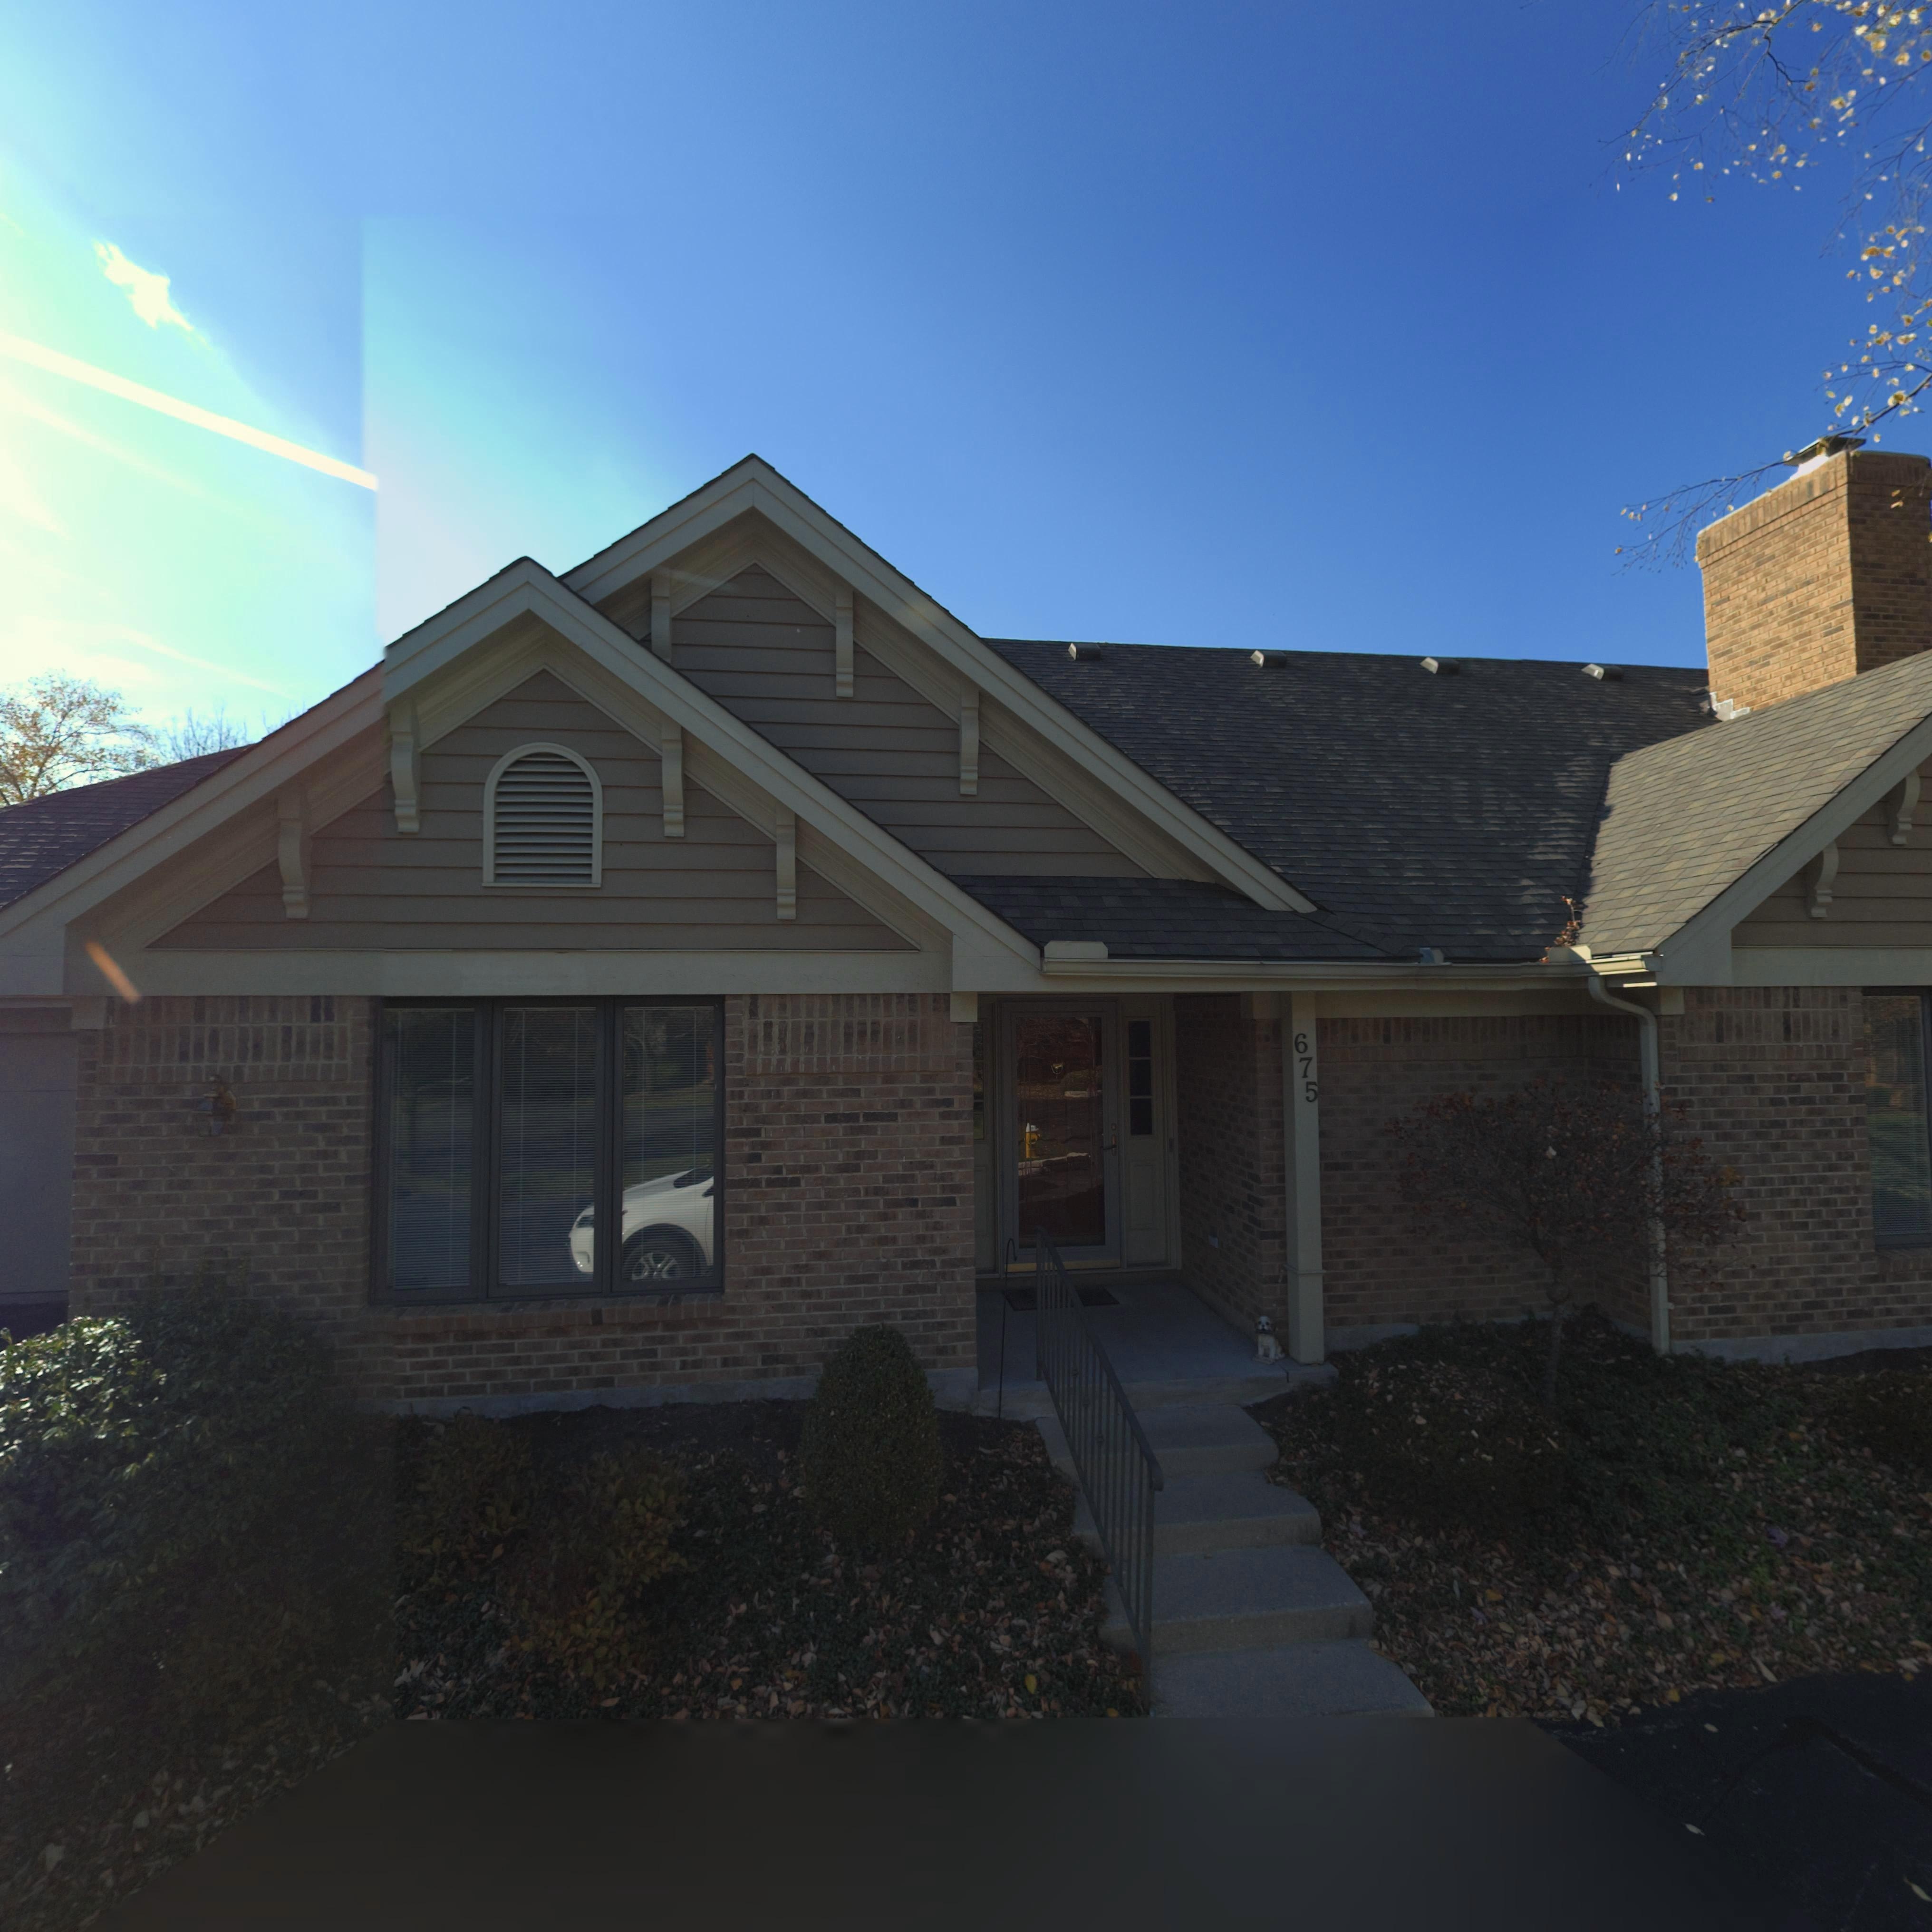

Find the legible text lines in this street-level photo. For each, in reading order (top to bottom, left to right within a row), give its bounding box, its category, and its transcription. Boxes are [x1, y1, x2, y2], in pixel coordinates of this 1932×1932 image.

[1294, 1031, 1320, 1105] StreetNumber: 675